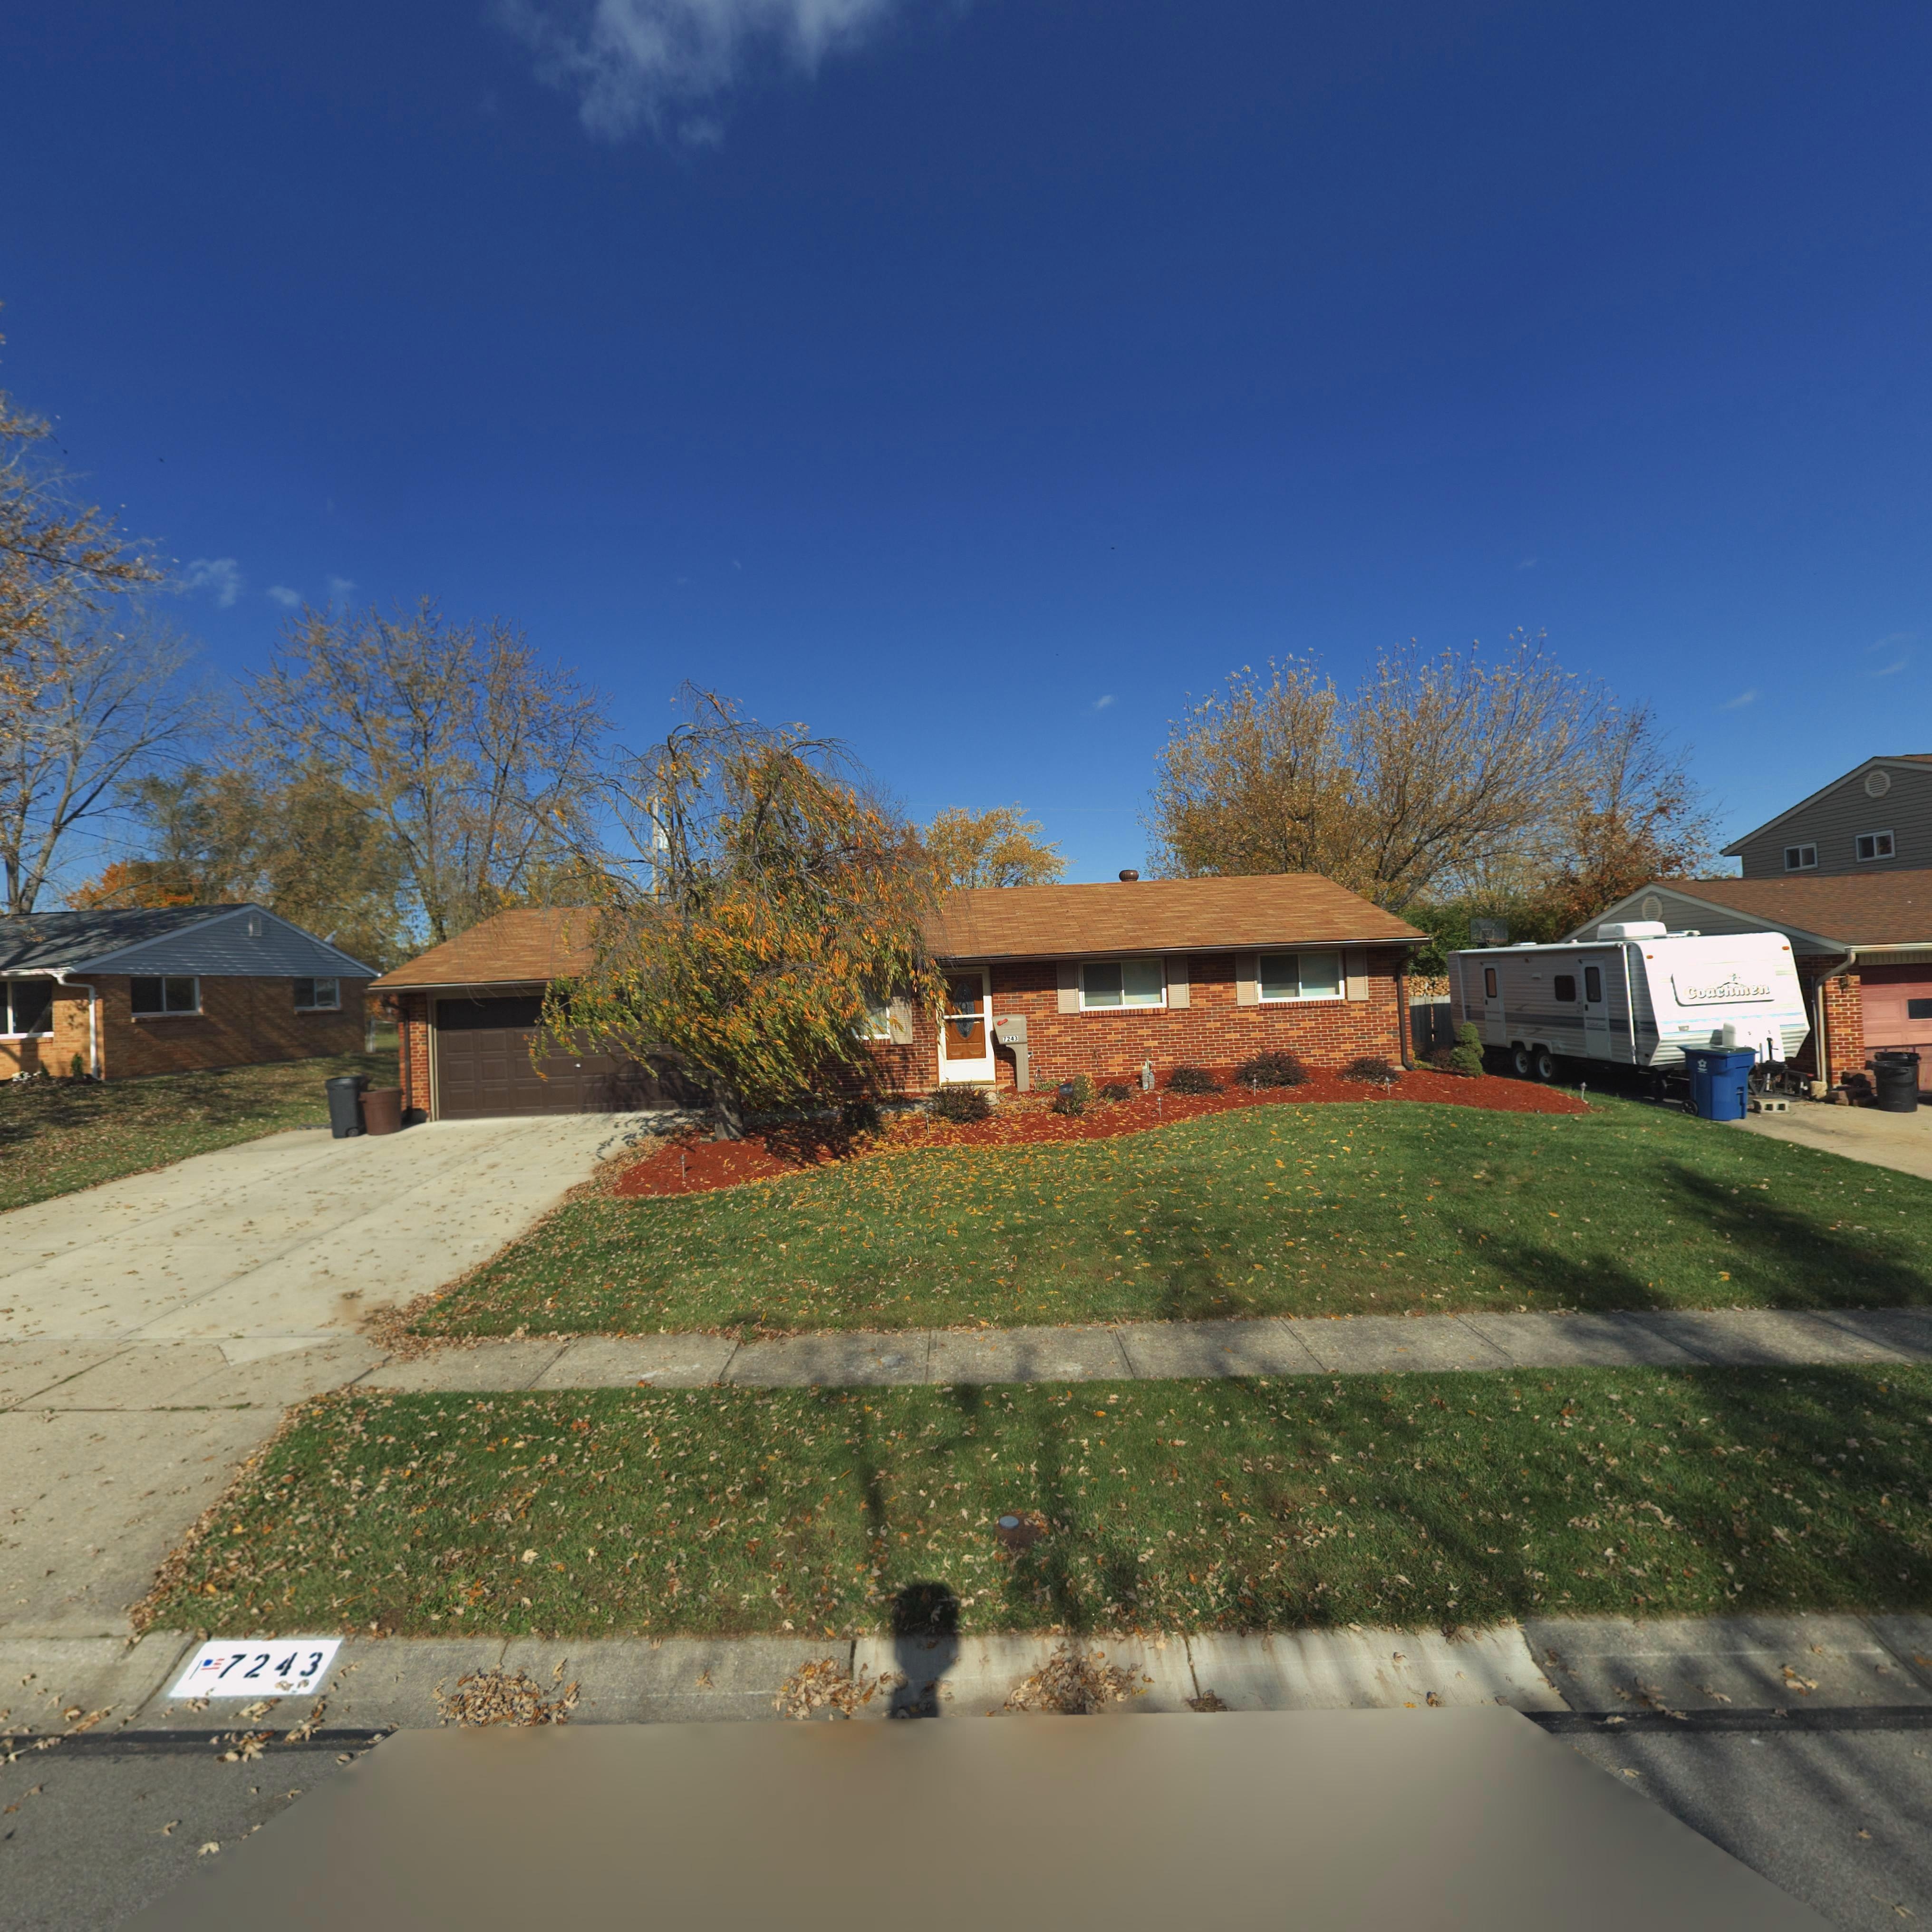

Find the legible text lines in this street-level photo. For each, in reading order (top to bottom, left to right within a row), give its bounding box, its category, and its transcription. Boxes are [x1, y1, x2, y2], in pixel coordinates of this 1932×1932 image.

[1002, 1034, 1019, 1043] StreetNumber: 7243
[215, 1648, 327, 1682] StreetNumber: 7243